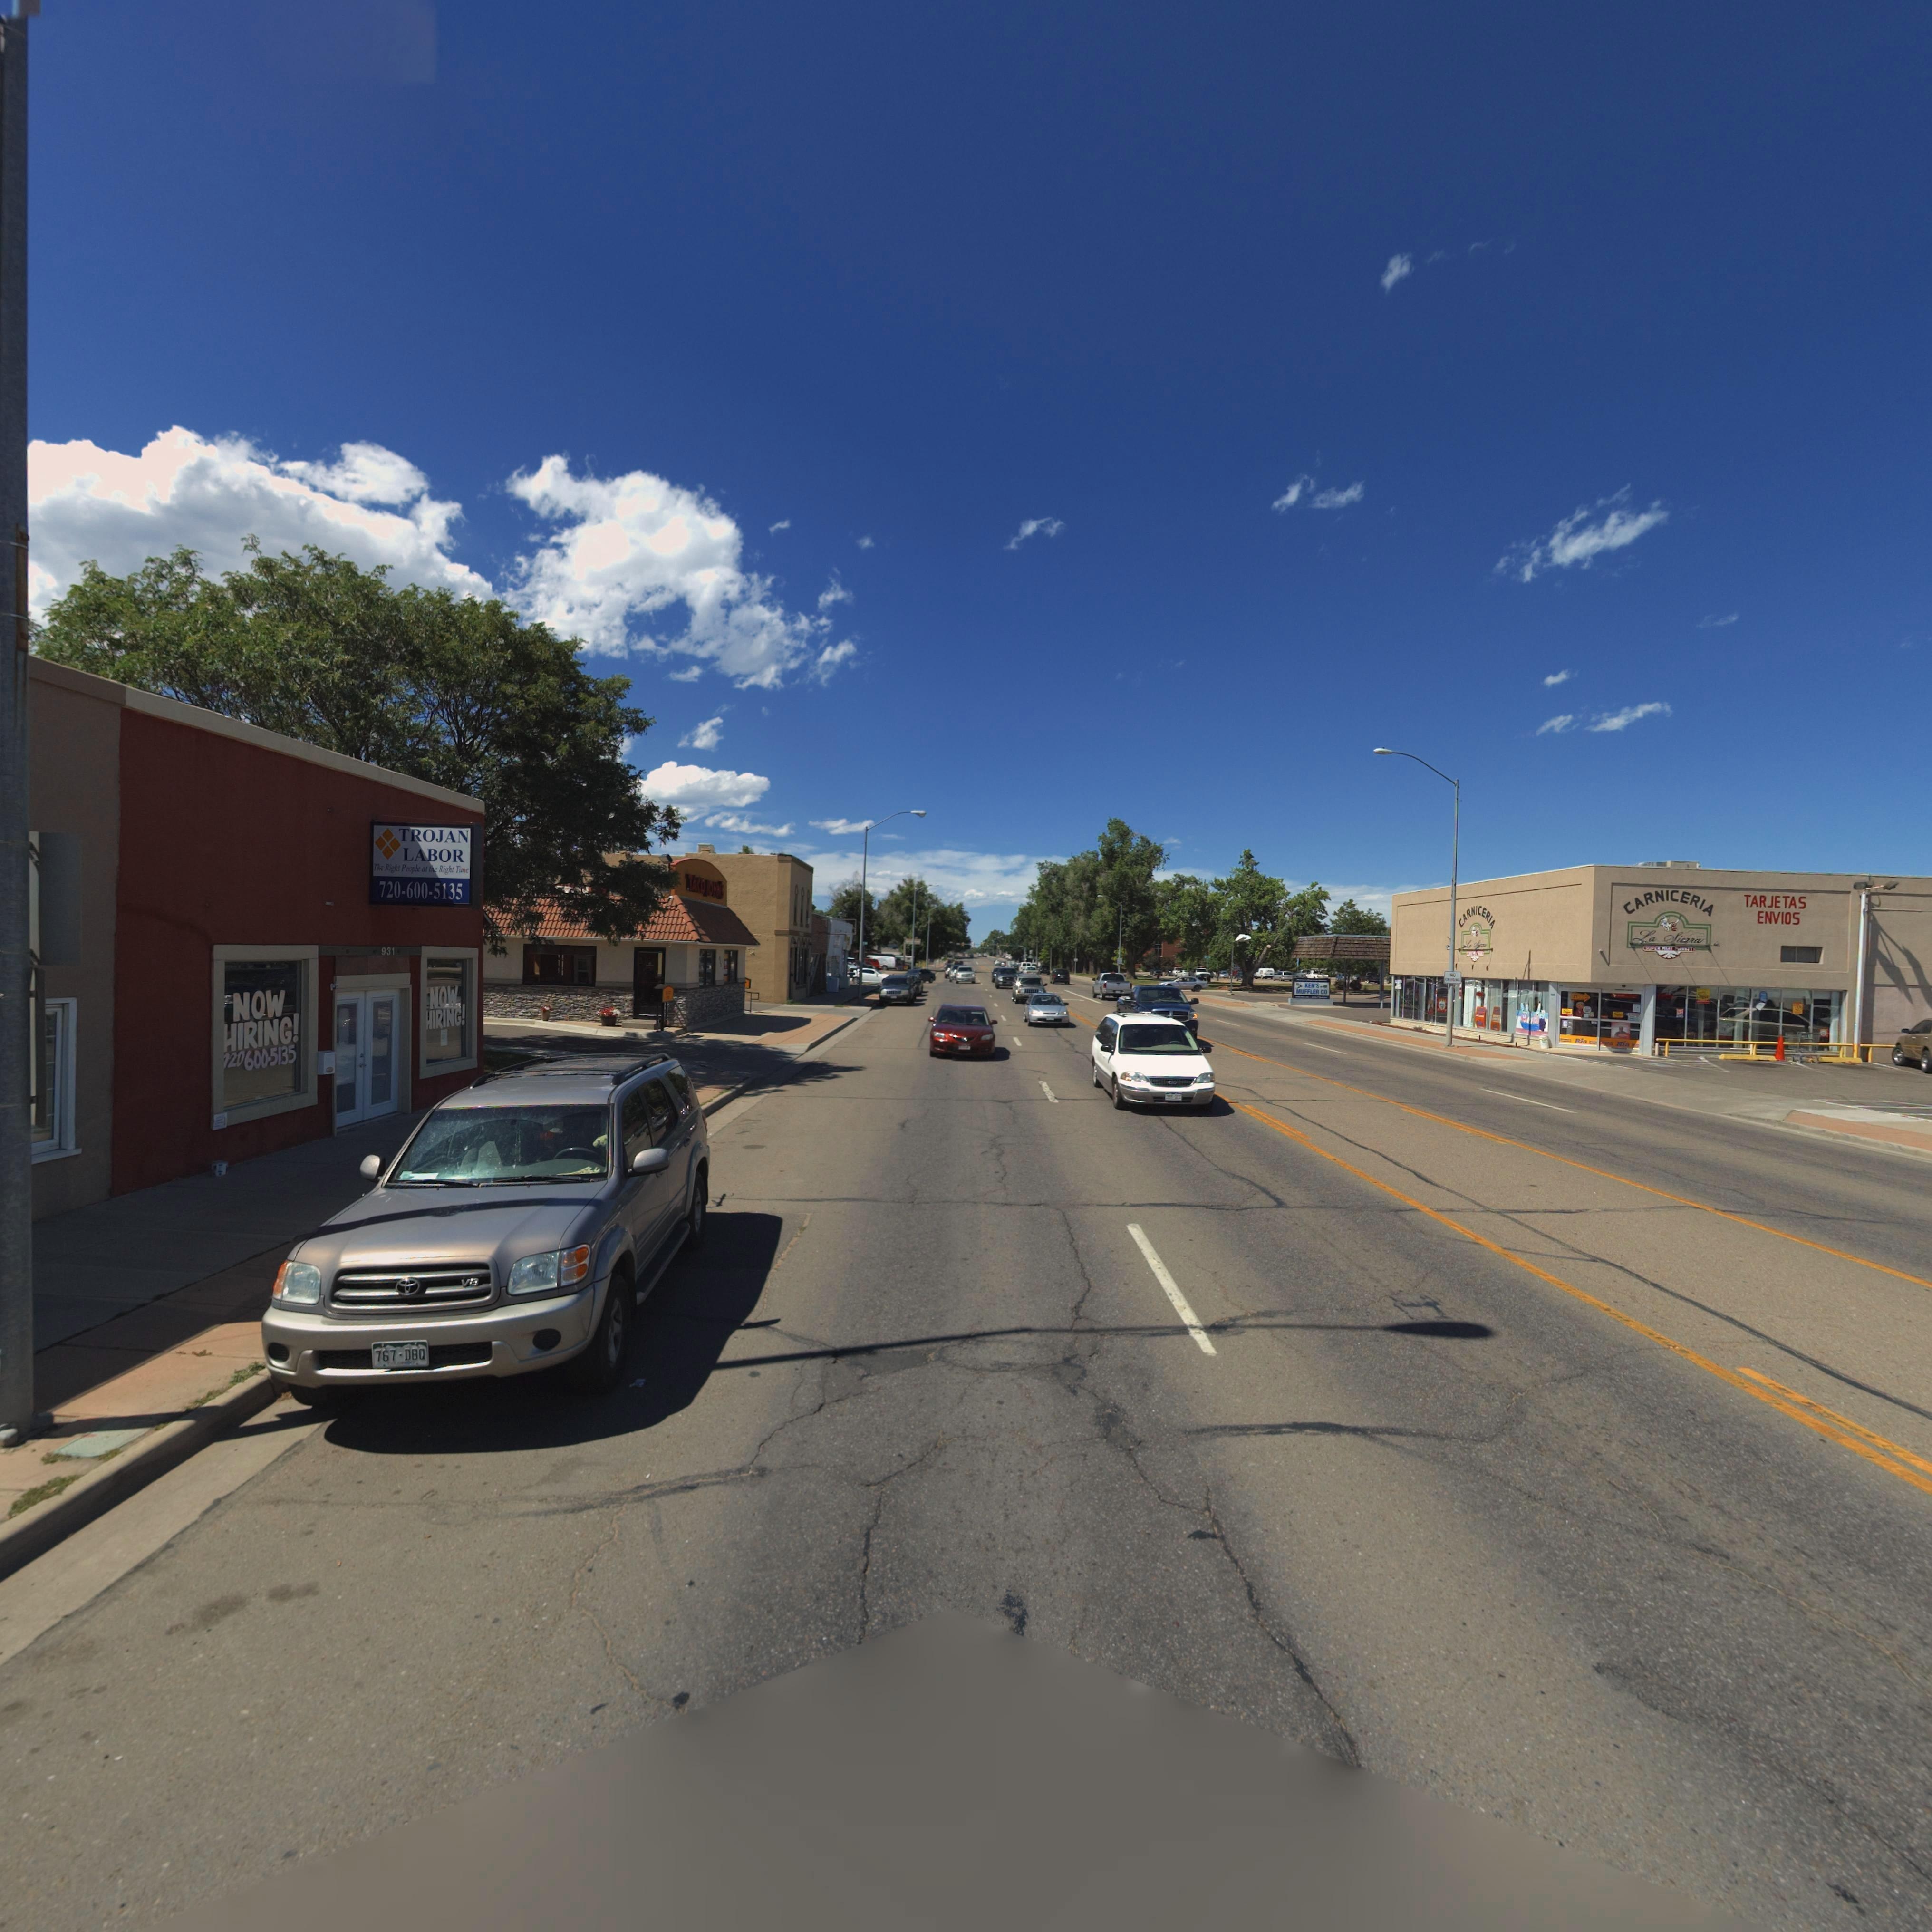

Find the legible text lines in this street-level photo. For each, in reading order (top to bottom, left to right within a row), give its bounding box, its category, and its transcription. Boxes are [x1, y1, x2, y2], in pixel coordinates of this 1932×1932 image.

[398, 828, 469, 843] BusinessName: TROJAN
[403, 847, 464, 862] BusinessName: LABOR
[688, 874, 724, 899] BusinessName: TACO JOH***
[1623, 889, 1714, 917] BusinessName: CARNICERIA
[1459, 905, 1495, 929] BusinessName: CARNICERIA
[1632, 929, 1705, 943] BusinessName: La Sierra
[381, 947, 394, 955] StreetNumber: 931
[1461, 939, 1487, 948] BusinessName: La S*****
[1296, 988, 1327, 994] BusinessName: MUFFLER CO
[1304, 983, 1319, 988] BusinessName: KEN'S